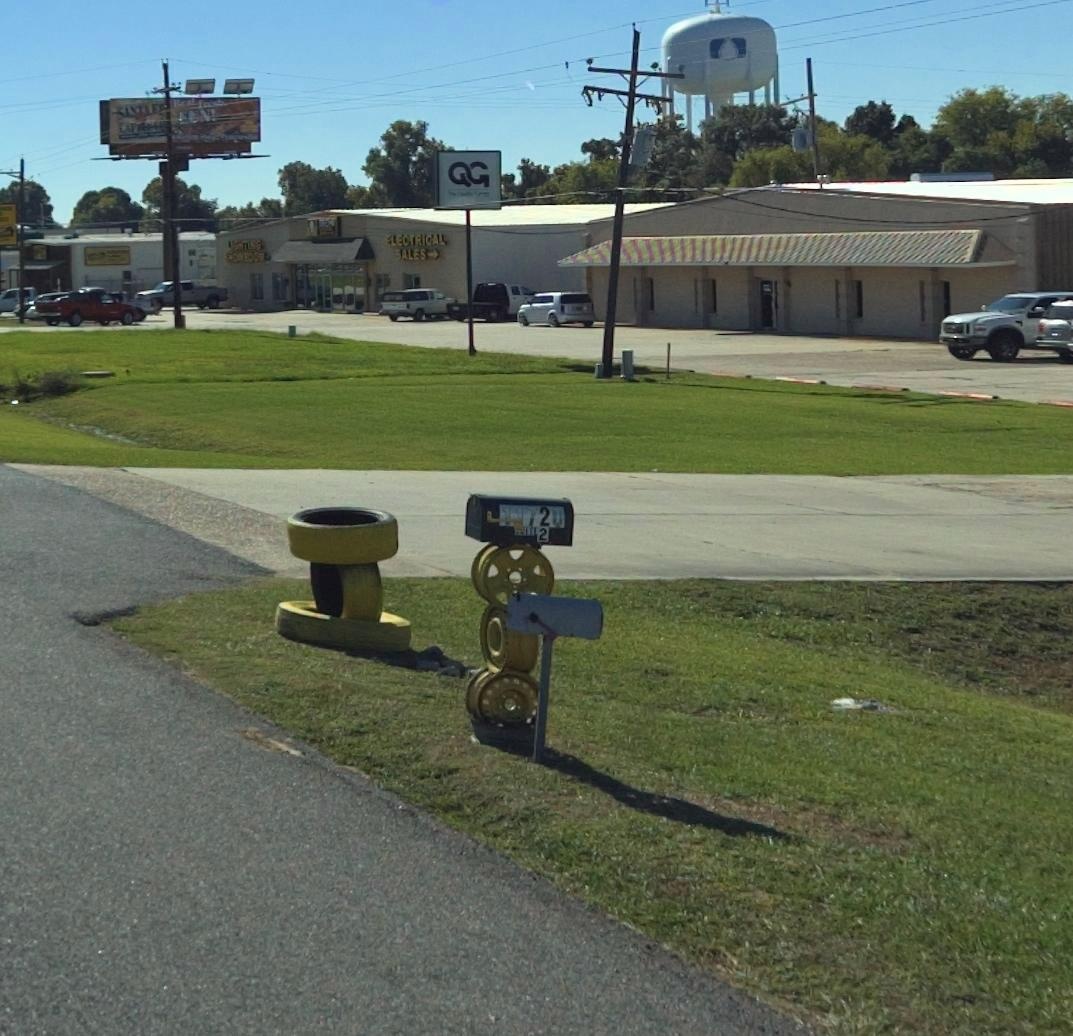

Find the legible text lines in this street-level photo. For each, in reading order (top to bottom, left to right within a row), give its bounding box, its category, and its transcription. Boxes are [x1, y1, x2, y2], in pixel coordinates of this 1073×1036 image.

[447, 161, 490, 188] BusinessName: QG
[385, 233, 446, 247] None: ELECTRICAL
[394, 248, 427, 261] None: SALES
[499, 505, 565, 527] StreetNumber: 1*720
[538, 528, 548, 541] StreetNumber: 2